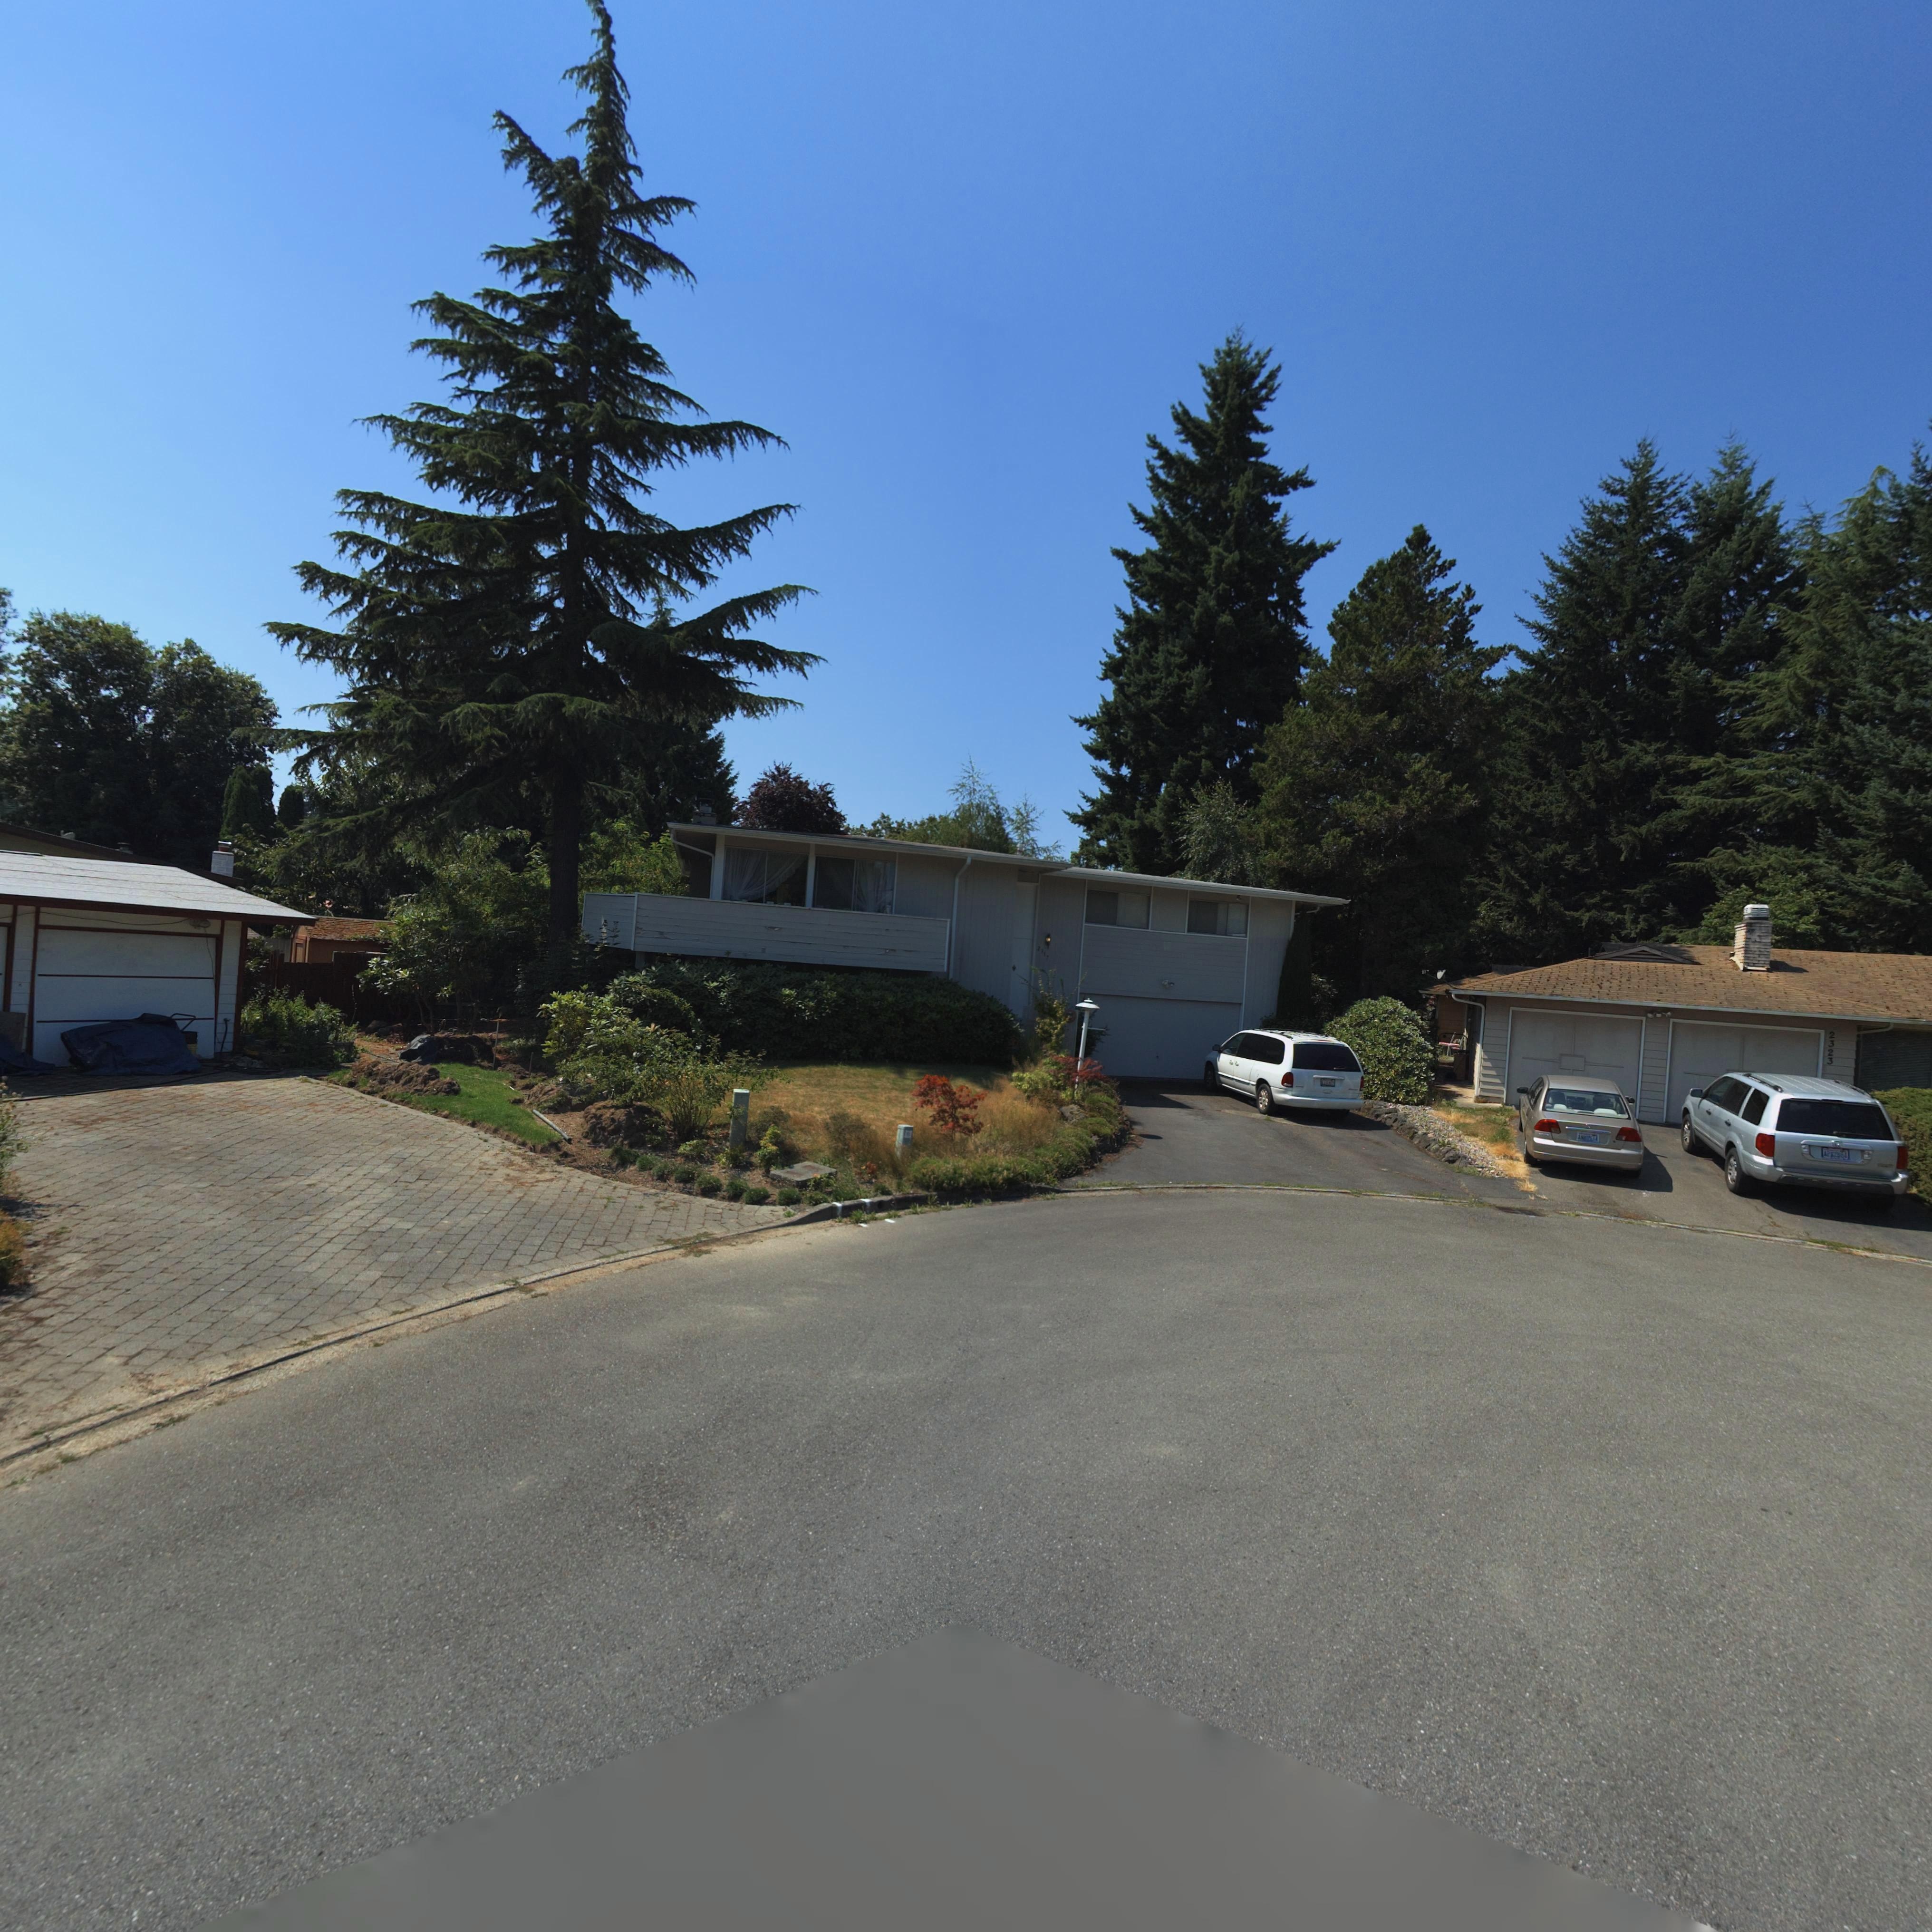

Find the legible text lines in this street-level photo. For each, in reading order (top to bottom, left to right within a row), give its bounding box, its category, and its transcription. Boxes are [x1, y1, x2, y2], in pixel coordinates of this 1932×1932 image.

[1827, 1031, 1835, 1064] StreetNumber: 2323